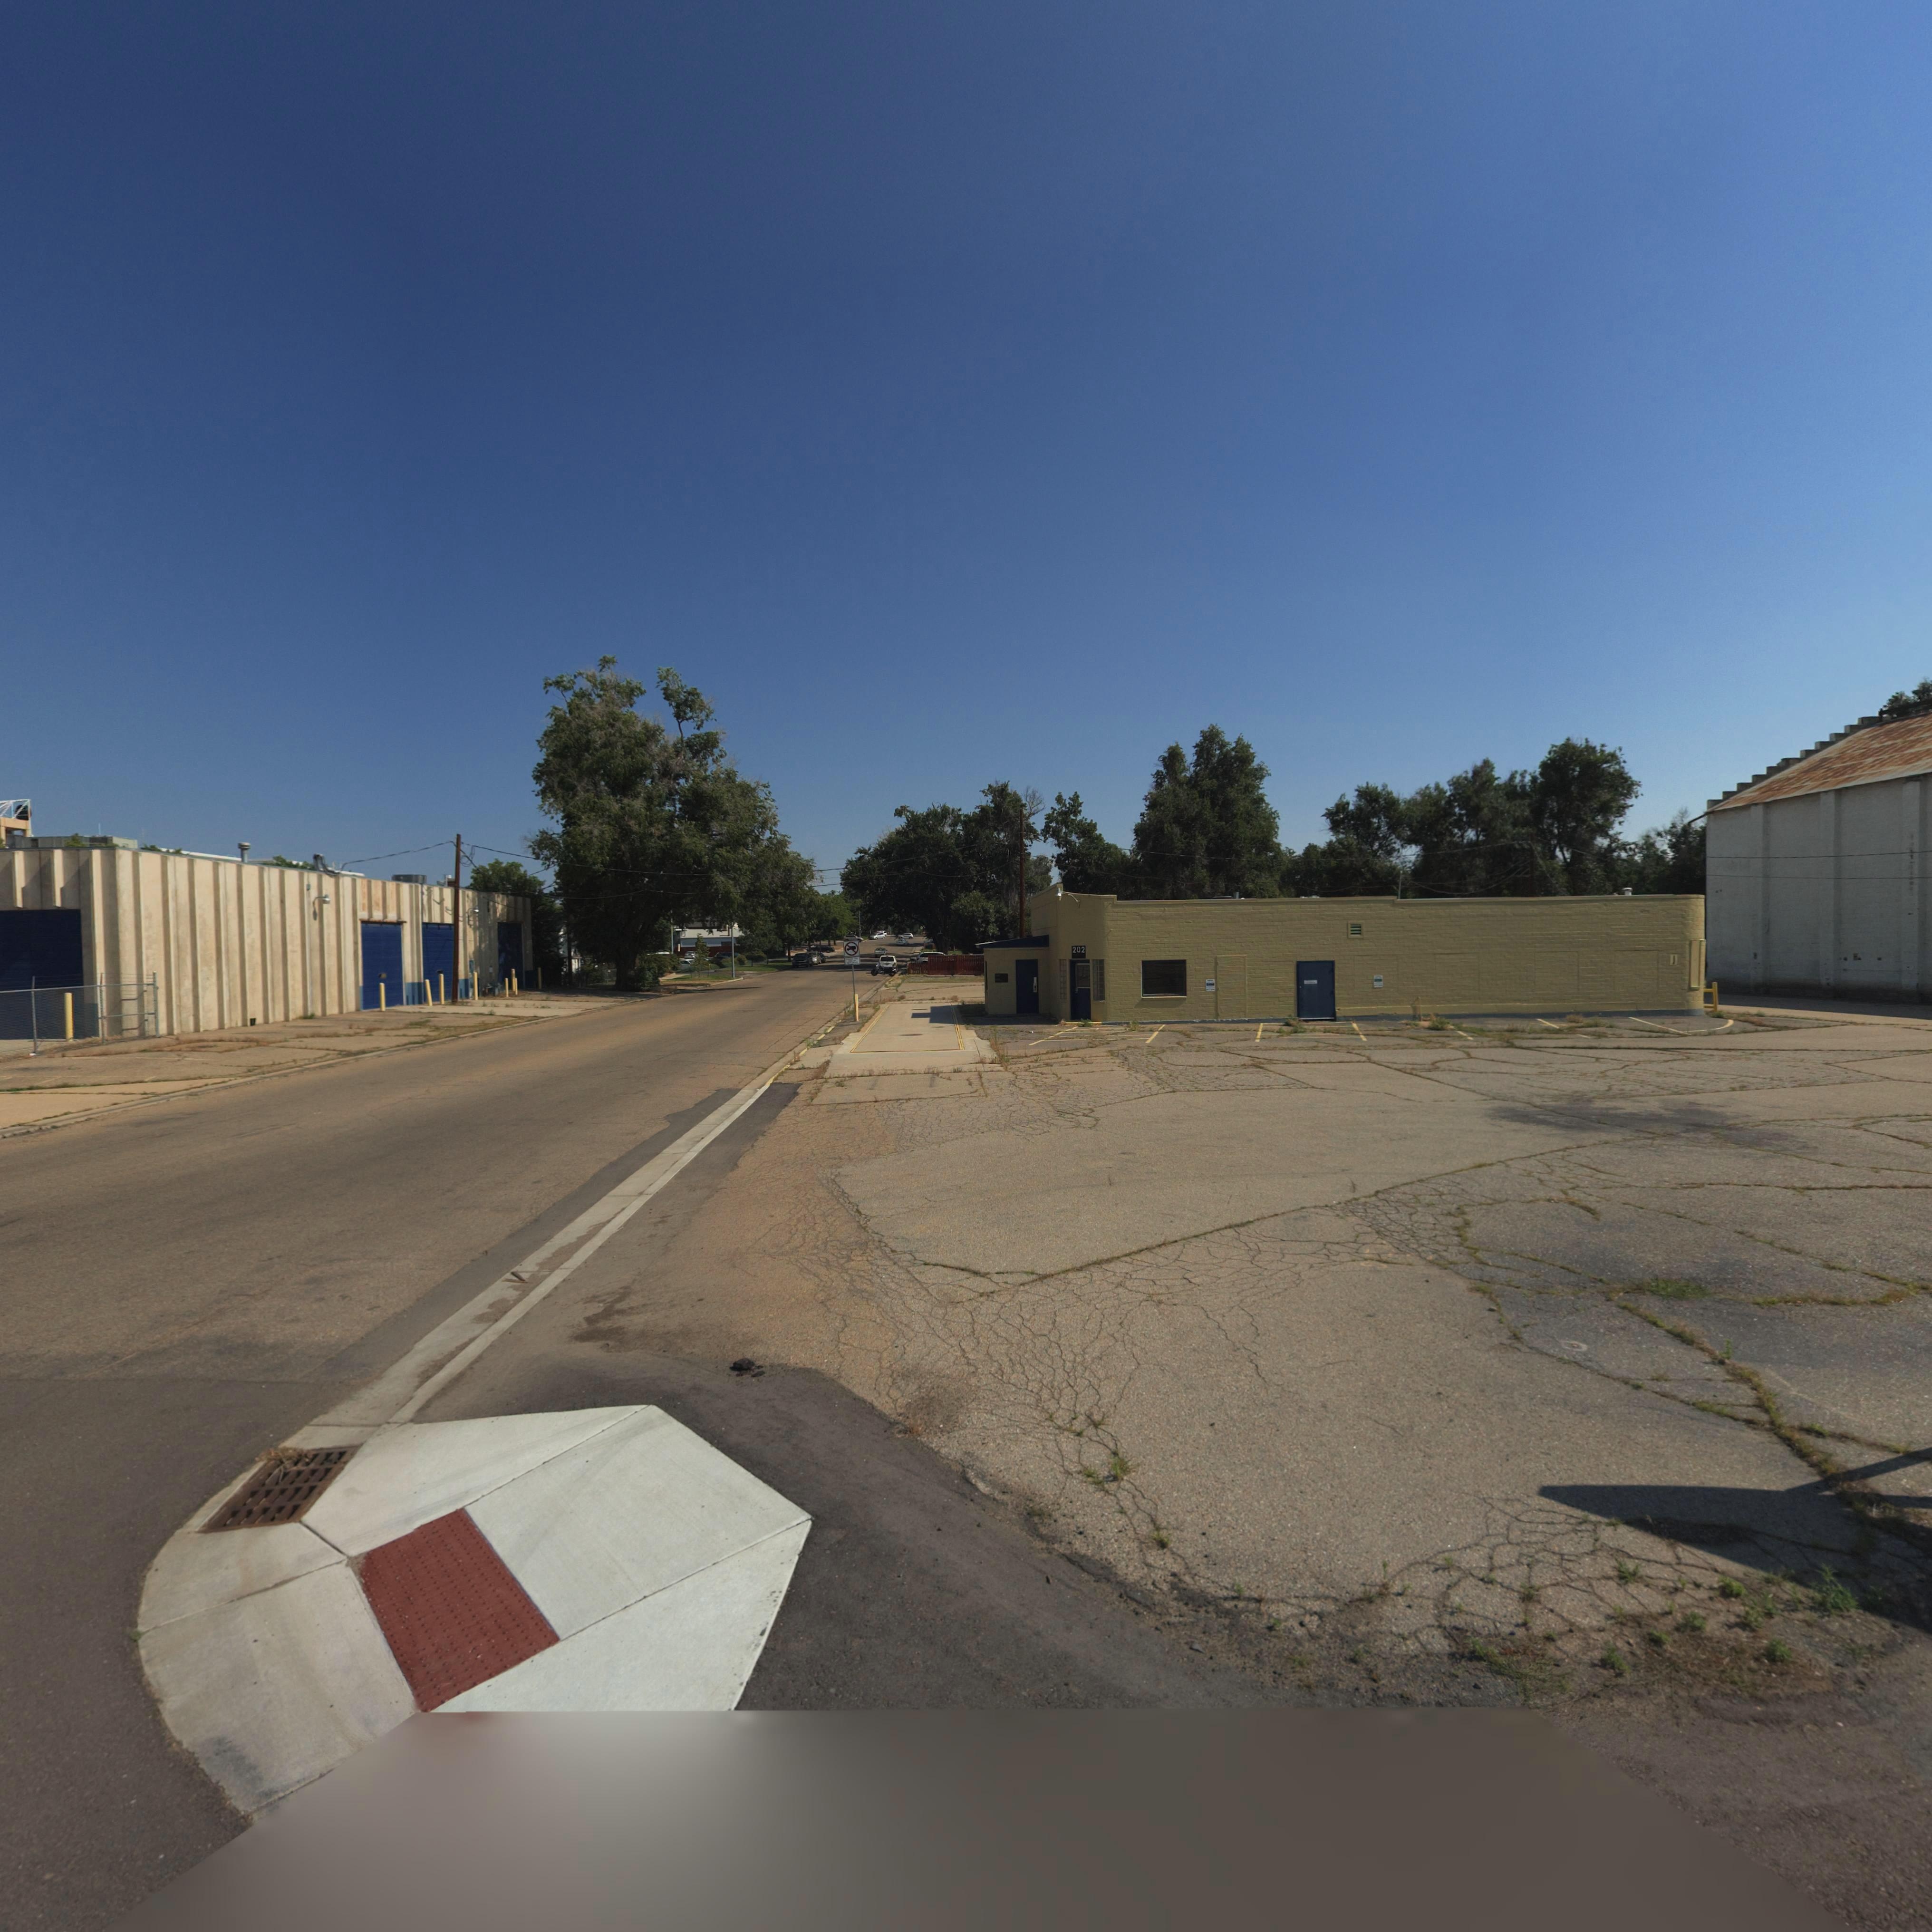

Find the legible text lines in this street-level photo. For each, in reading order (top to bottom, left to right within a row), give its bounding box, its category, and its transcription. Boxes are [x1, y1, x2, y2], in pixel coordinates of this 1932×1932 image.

[1072, 946, 1085, 953] StreetNumber: 202